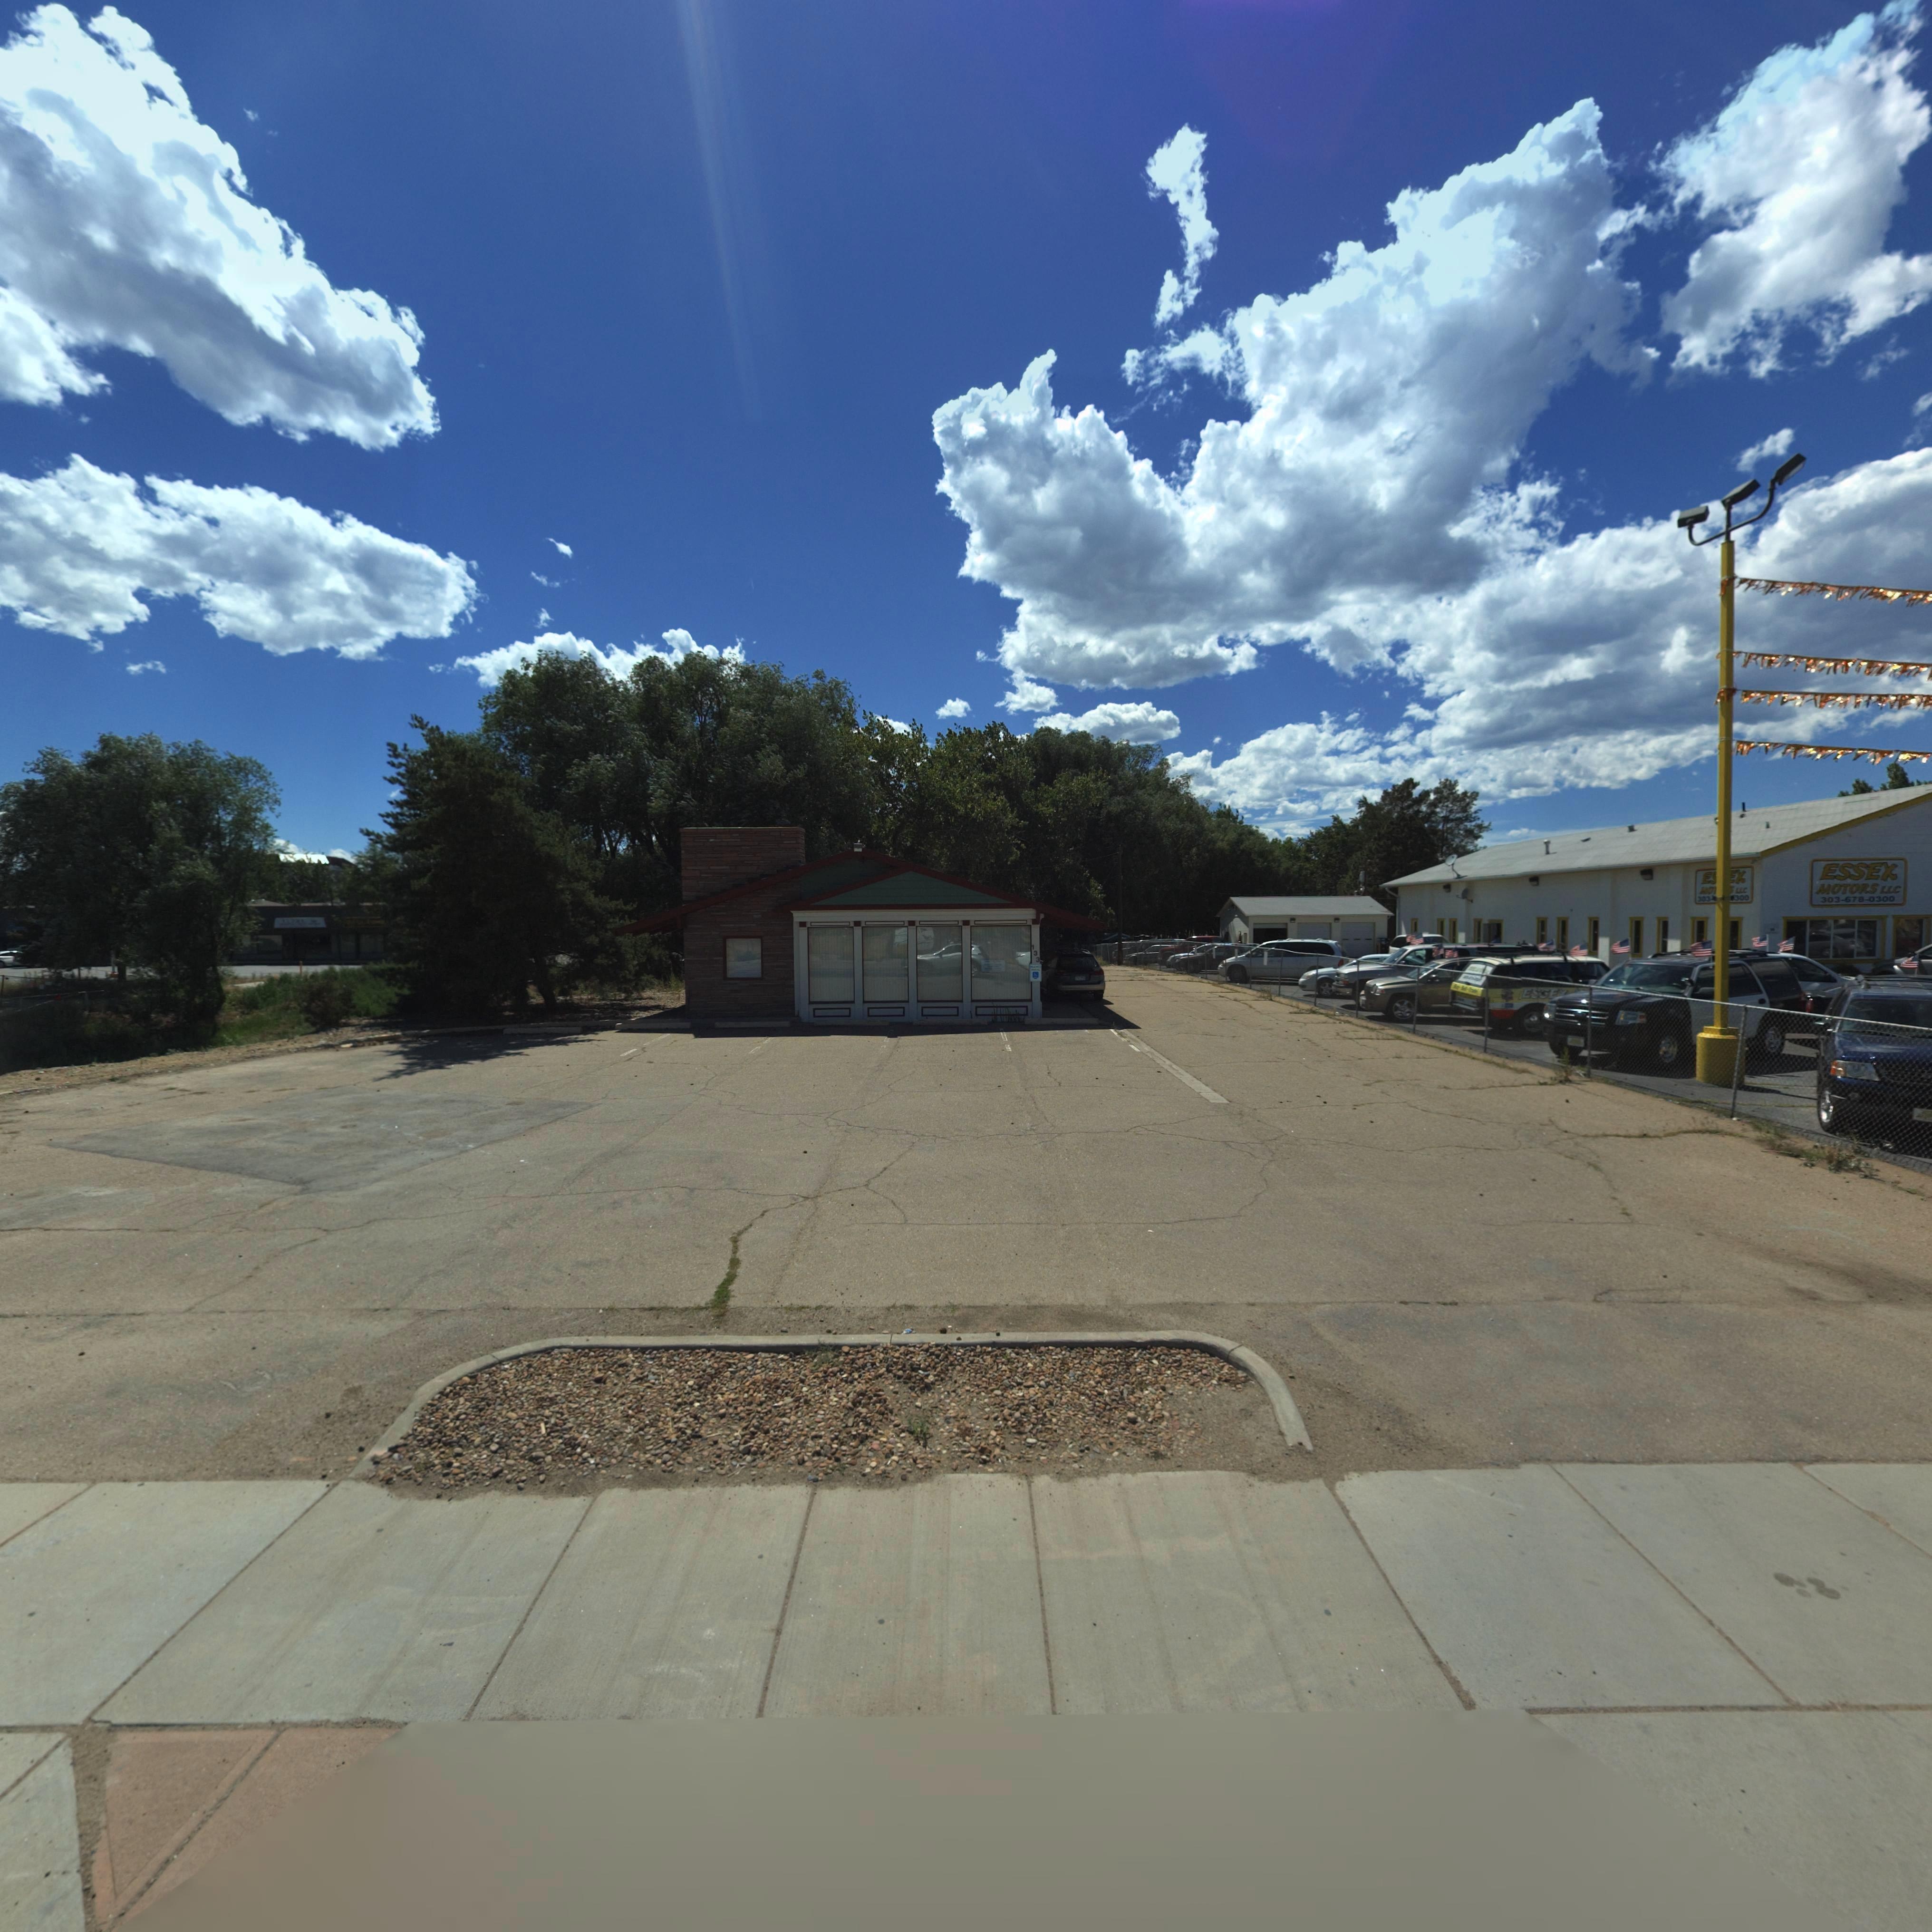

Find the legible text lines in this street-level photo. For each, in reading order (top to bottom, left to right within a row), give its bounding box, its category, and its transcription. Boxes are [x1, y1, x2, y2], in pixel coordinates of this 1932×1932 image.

[1699, 868, 1747, 885] BusinessName: E**X
[1817, 860, 1900, 881] BusinessName: ESSEX
[1699, 886, 1748, 895] BusinessName: MO**** LLC
[1814, 882, 1903, 895] BusinessName: MOTORS LLC
[1030, 944, 1041, 964] StreetNumber: 133